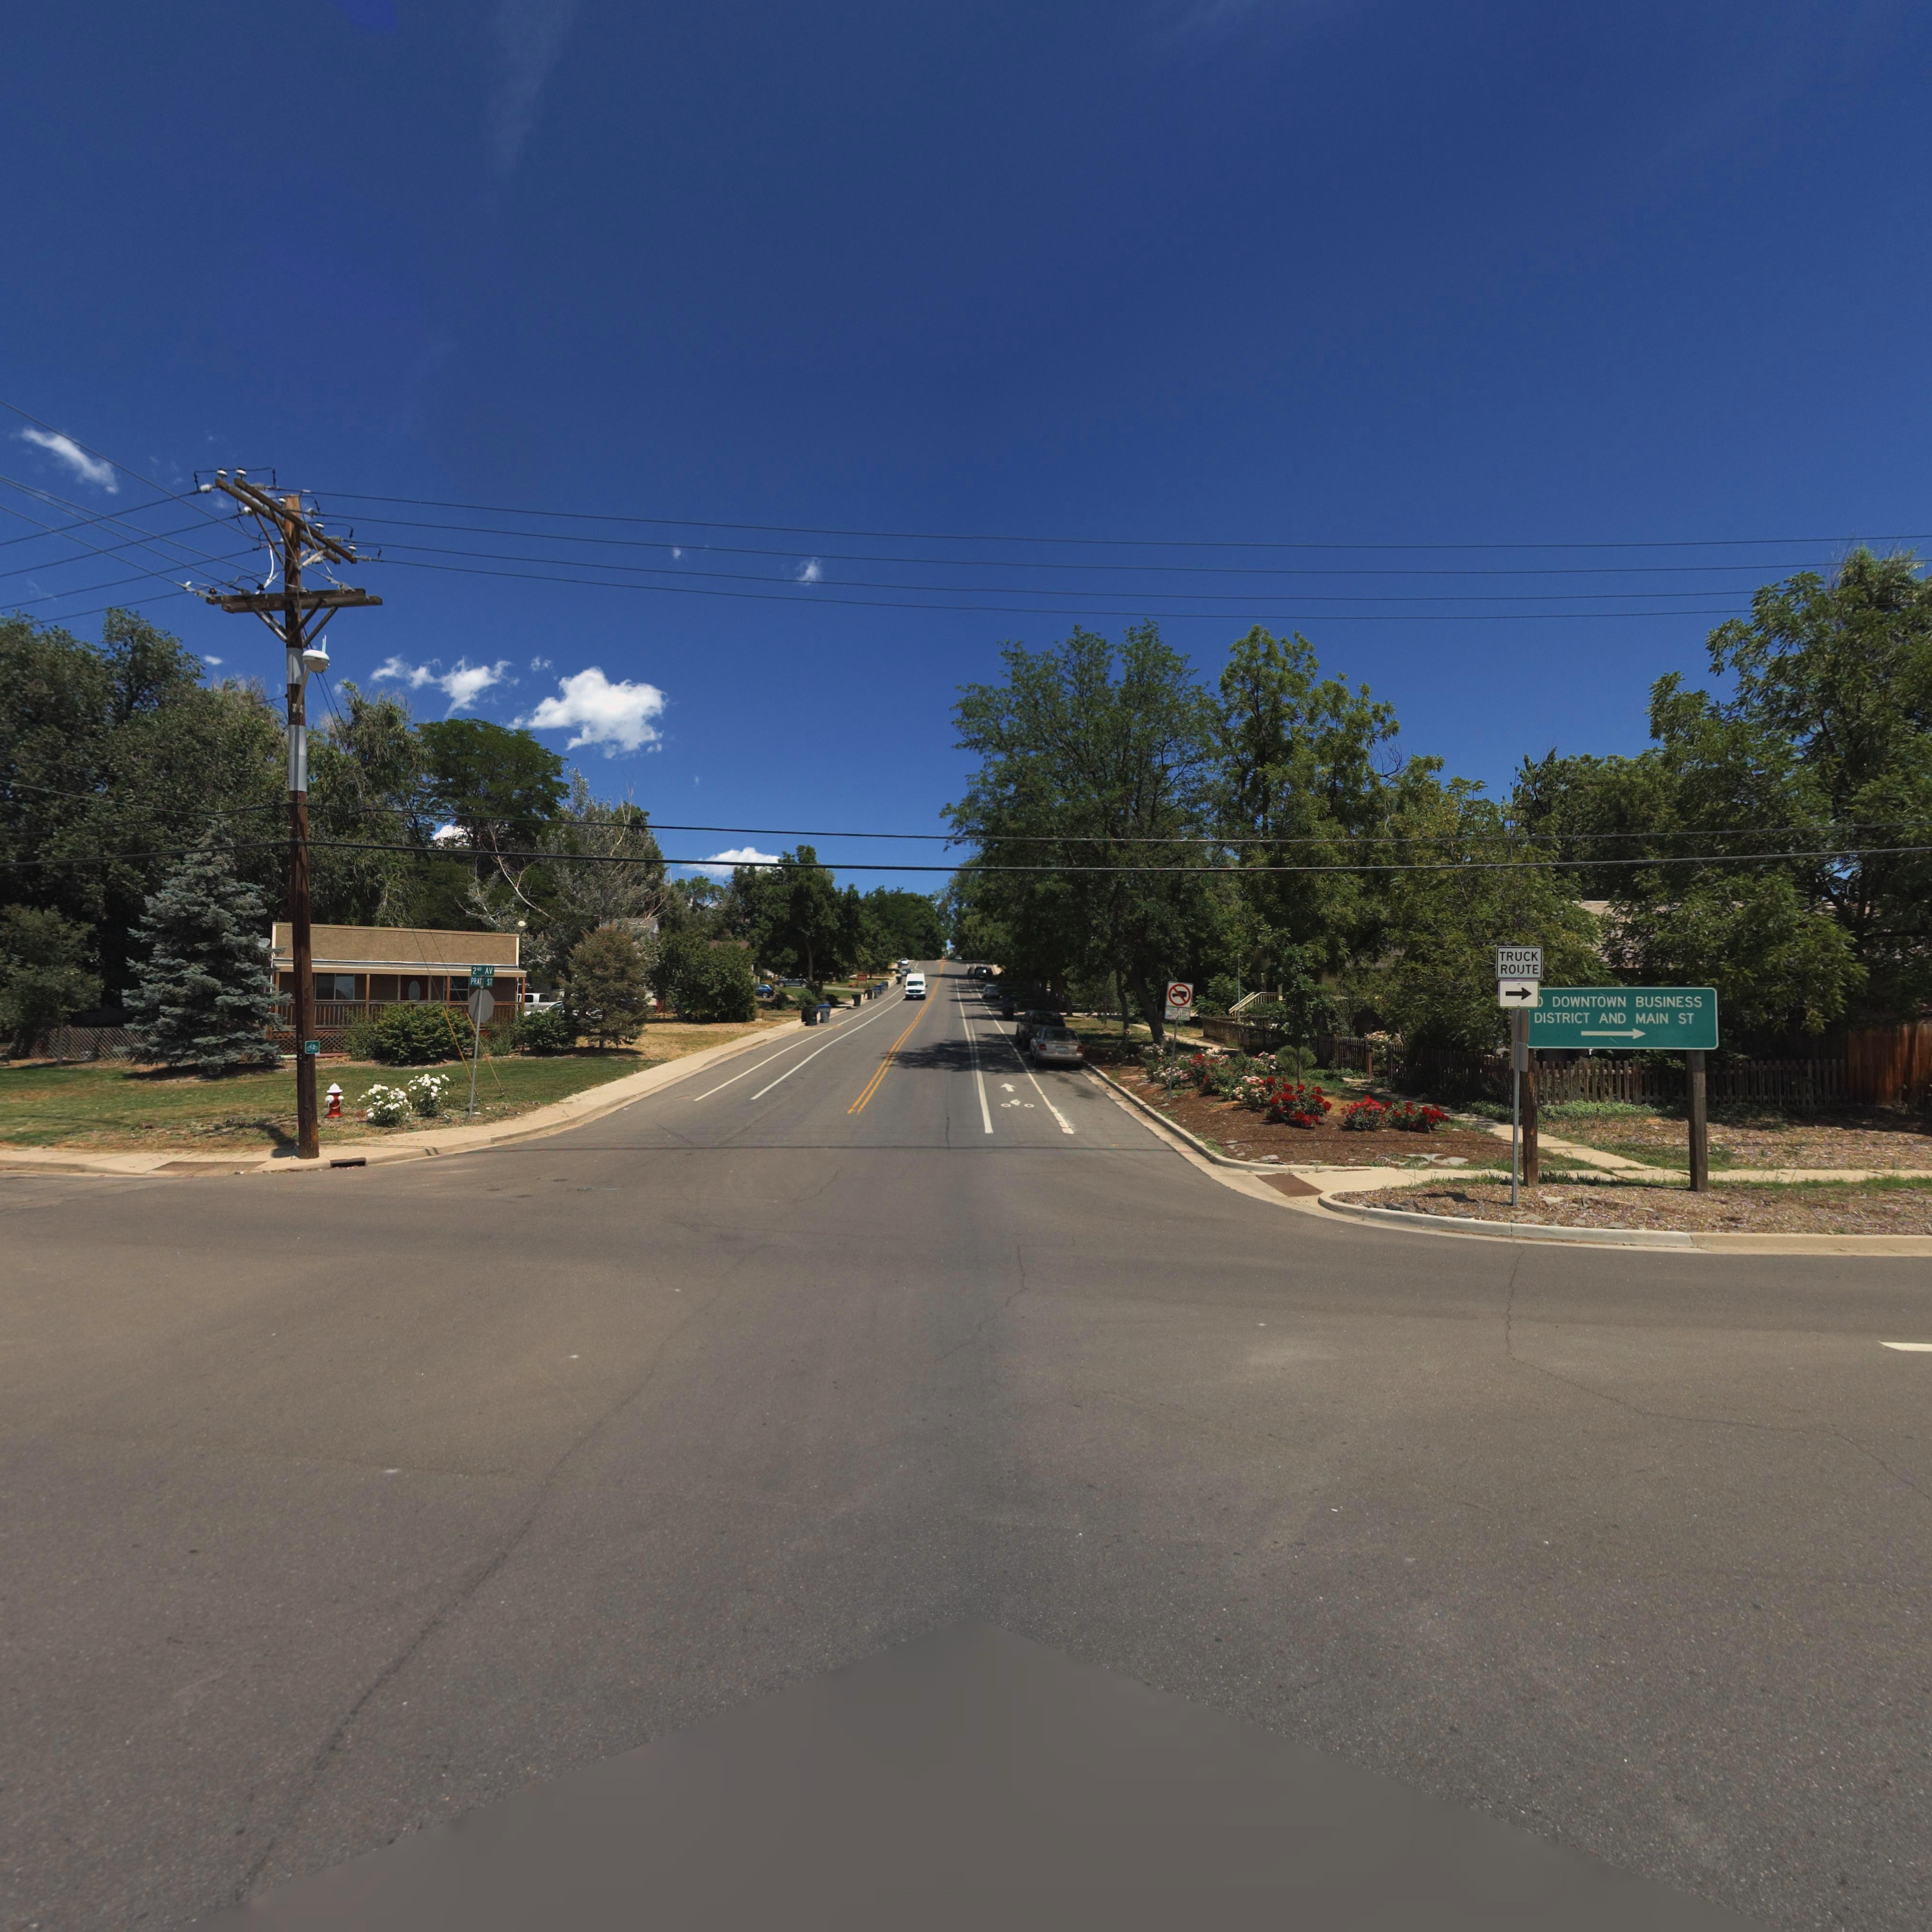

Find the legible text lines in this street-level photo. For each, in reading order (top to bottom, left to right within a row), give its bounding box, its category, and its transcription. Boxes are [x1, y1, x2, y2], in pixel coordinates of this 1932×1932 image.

[472, 966, 493, 975] StreetName: 2ND AV
[470, 977, 493, 985] StreetName: PRATT ST